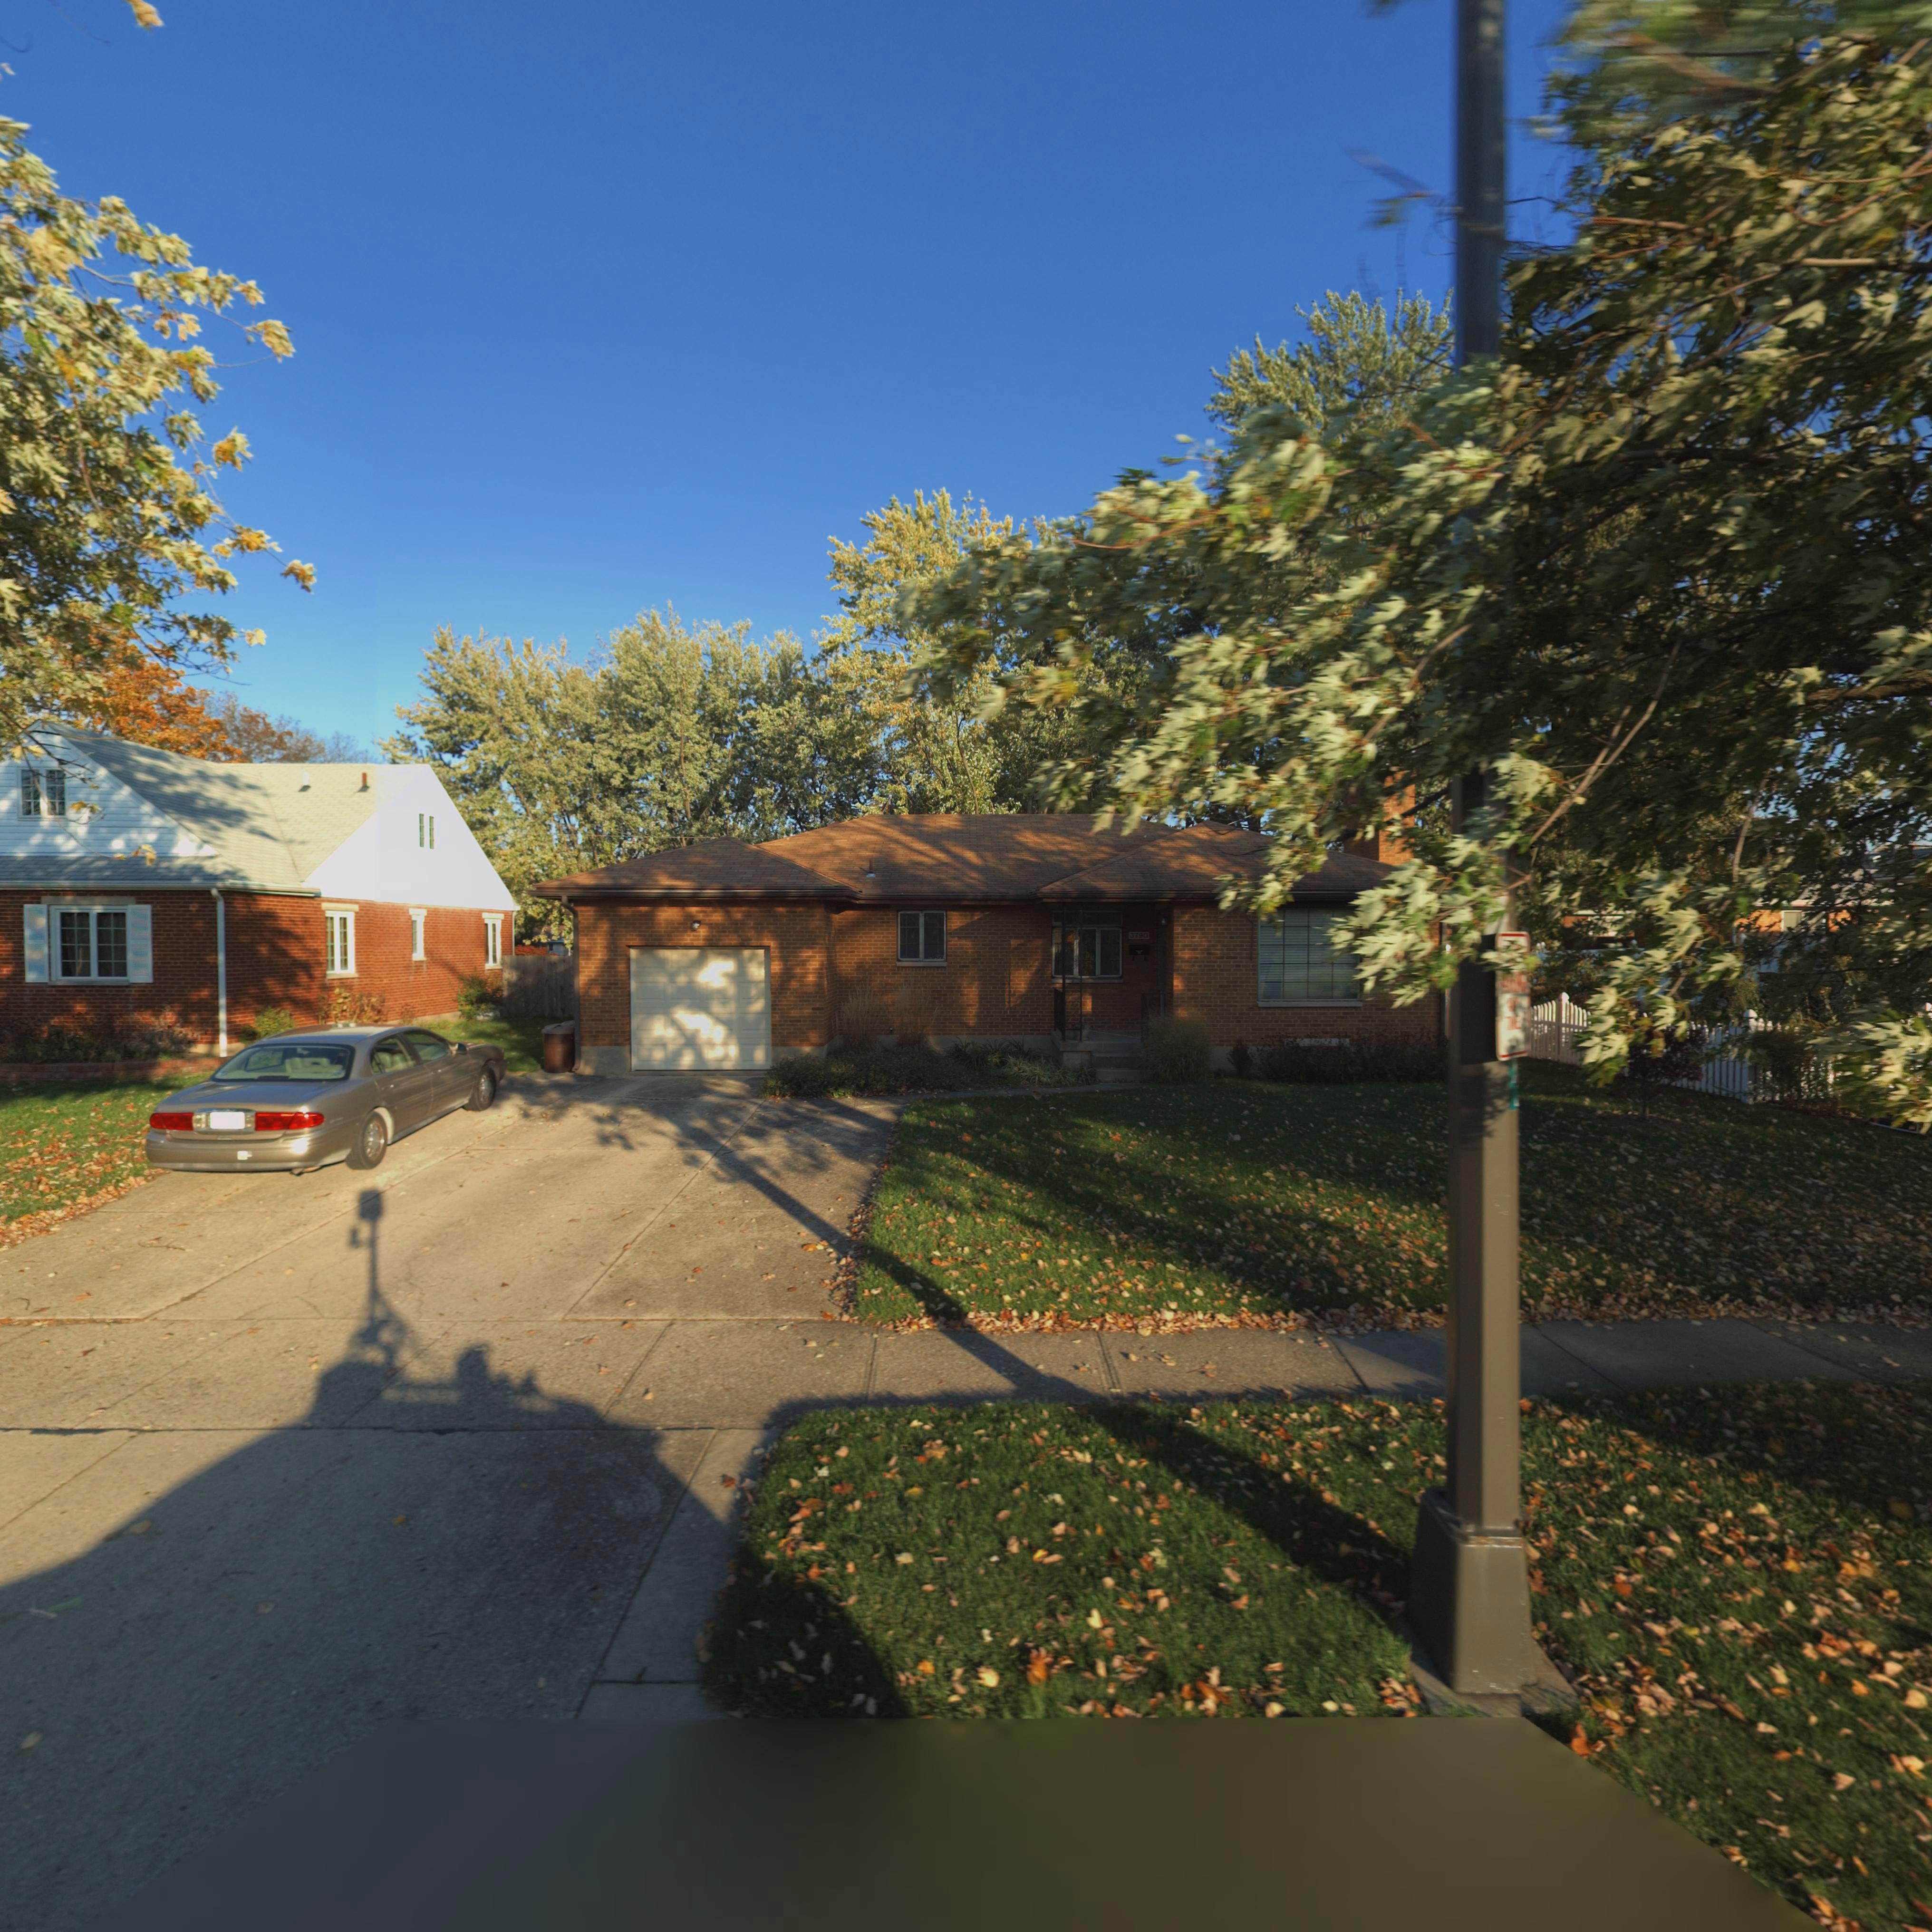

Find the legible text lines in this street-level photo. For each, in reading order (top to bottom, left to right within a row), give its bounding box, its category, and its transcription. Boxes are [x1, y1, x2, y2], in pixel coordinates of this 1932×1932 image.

[1129, 932, 1148, 939] StreetNumber: 3790